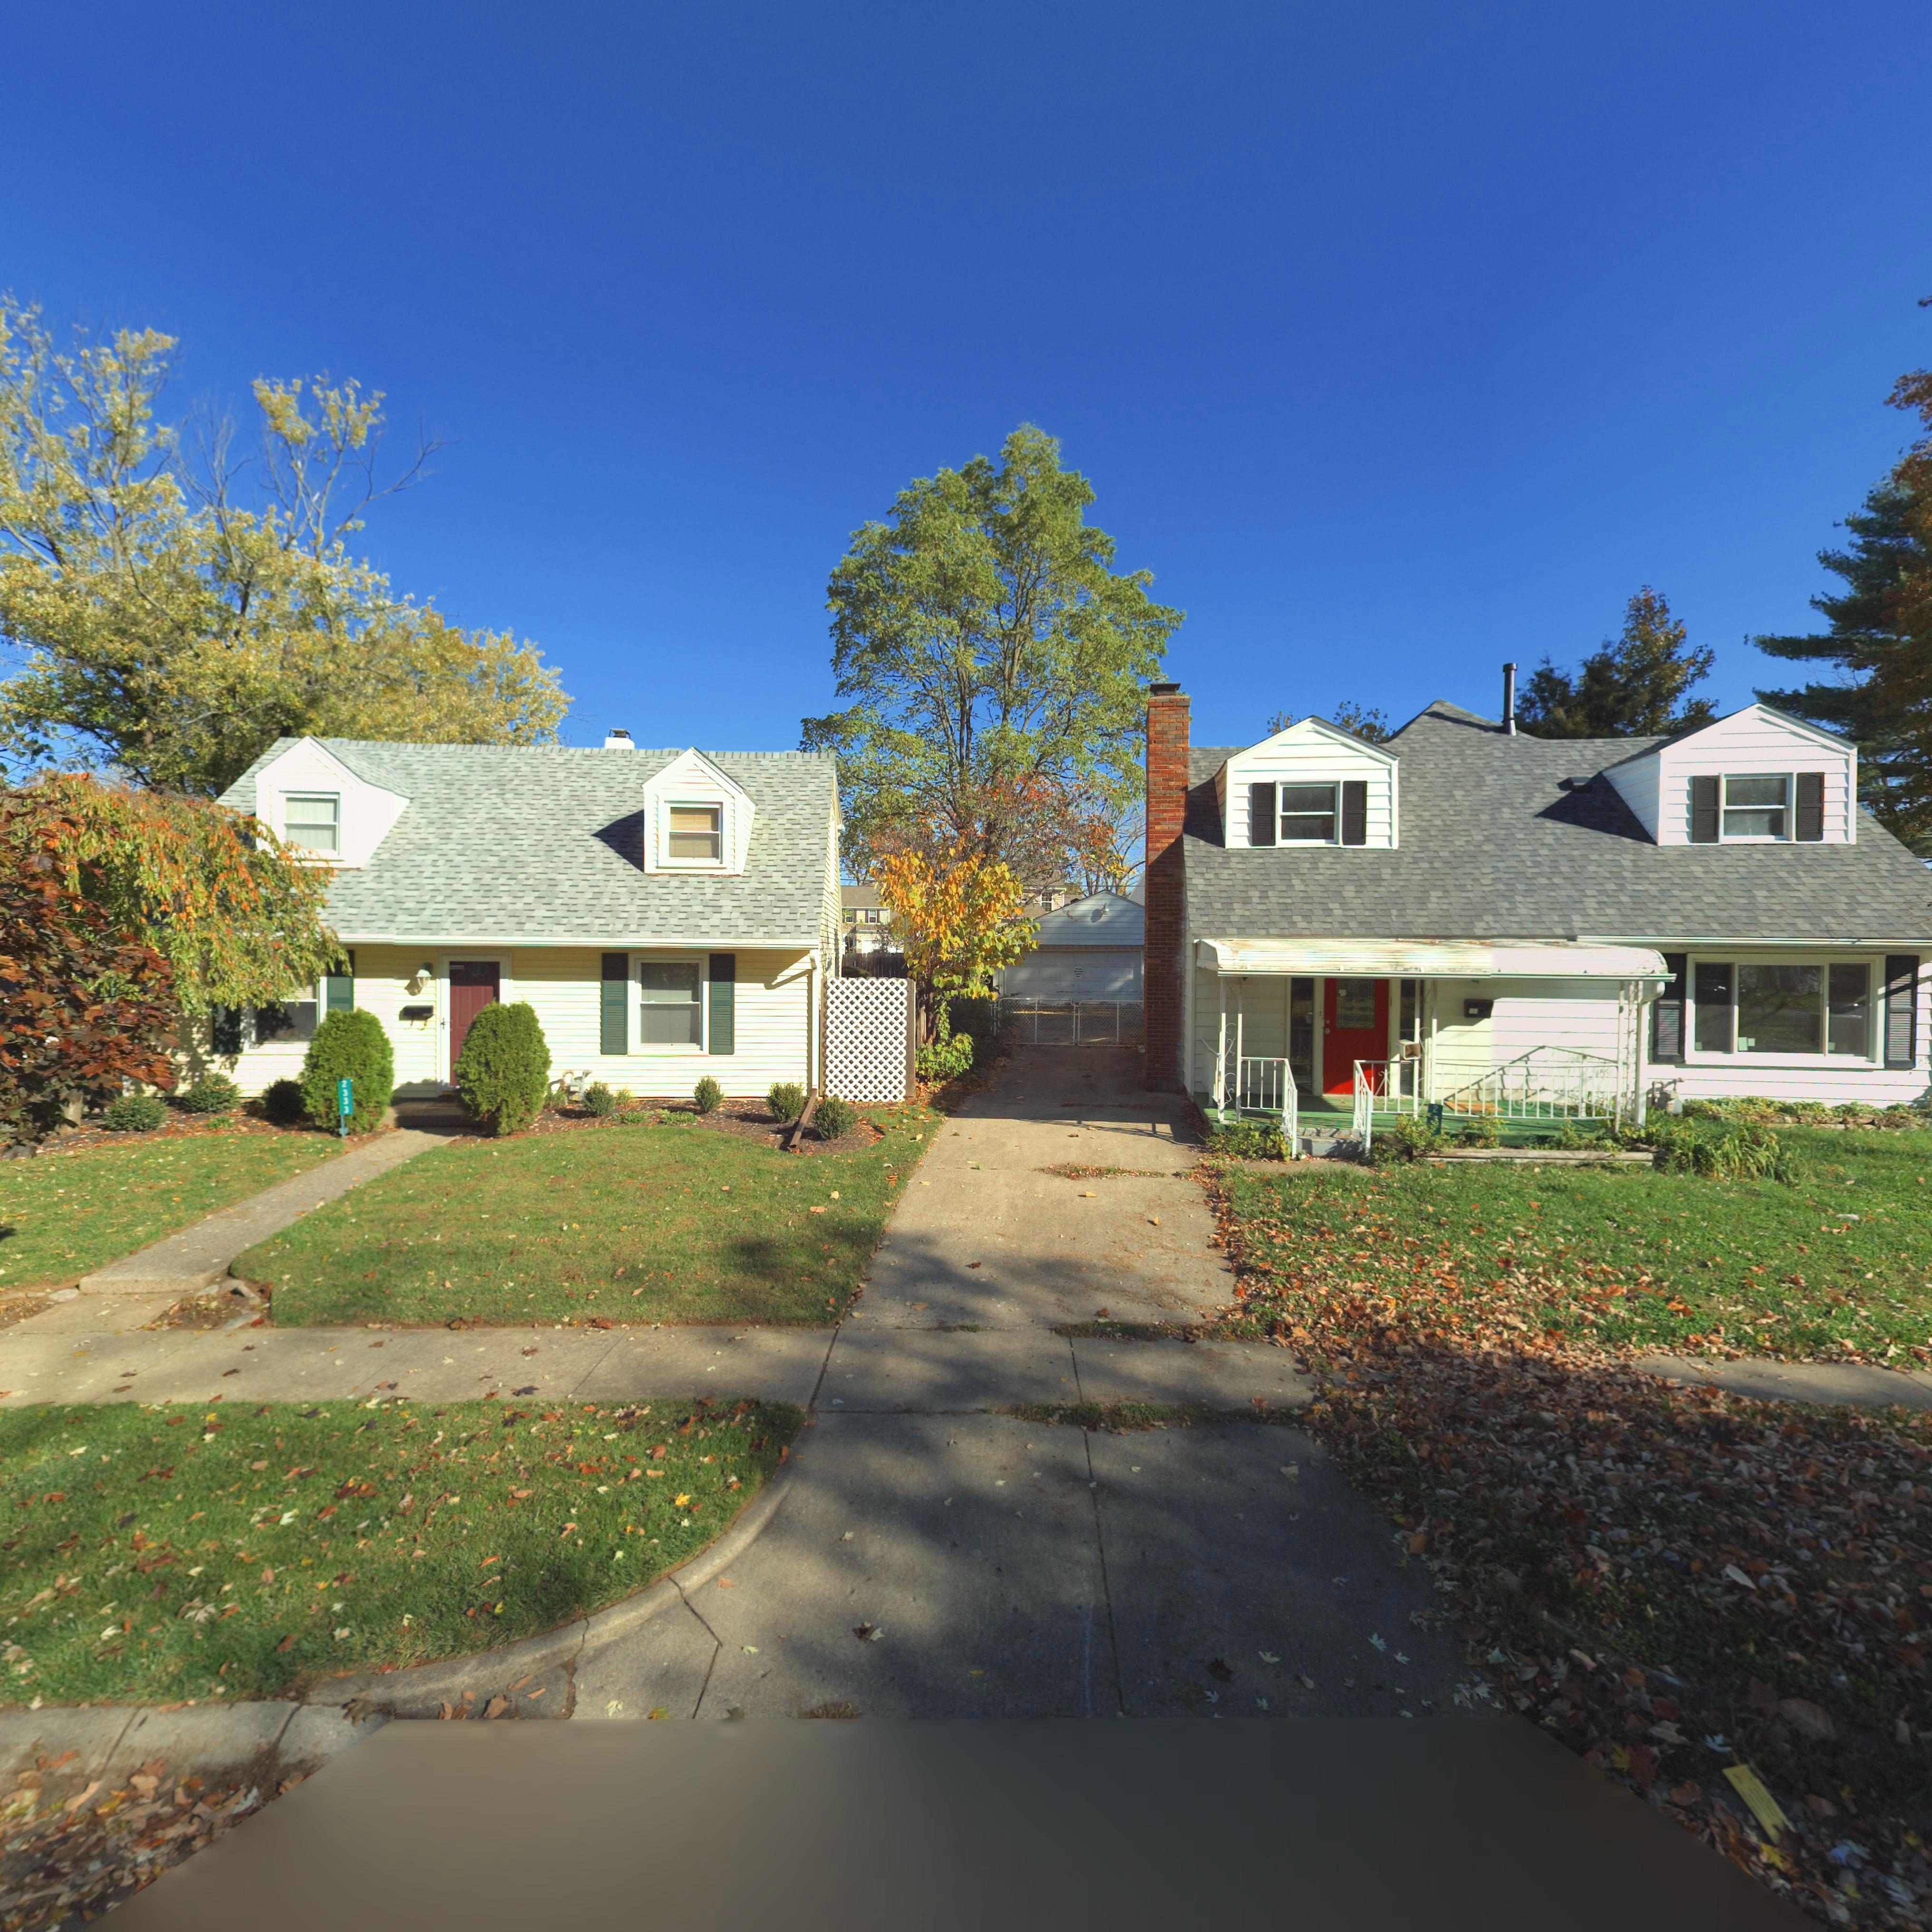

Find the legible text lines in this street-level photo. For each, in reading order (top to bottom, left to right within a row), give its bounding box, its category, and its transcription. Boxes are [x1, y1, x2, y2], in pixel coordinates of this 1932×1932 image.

[341, 1079, 350, 1115] StreetNumber: 2333
[1431, 1104, 1439, 1114] StreetNumber: 2